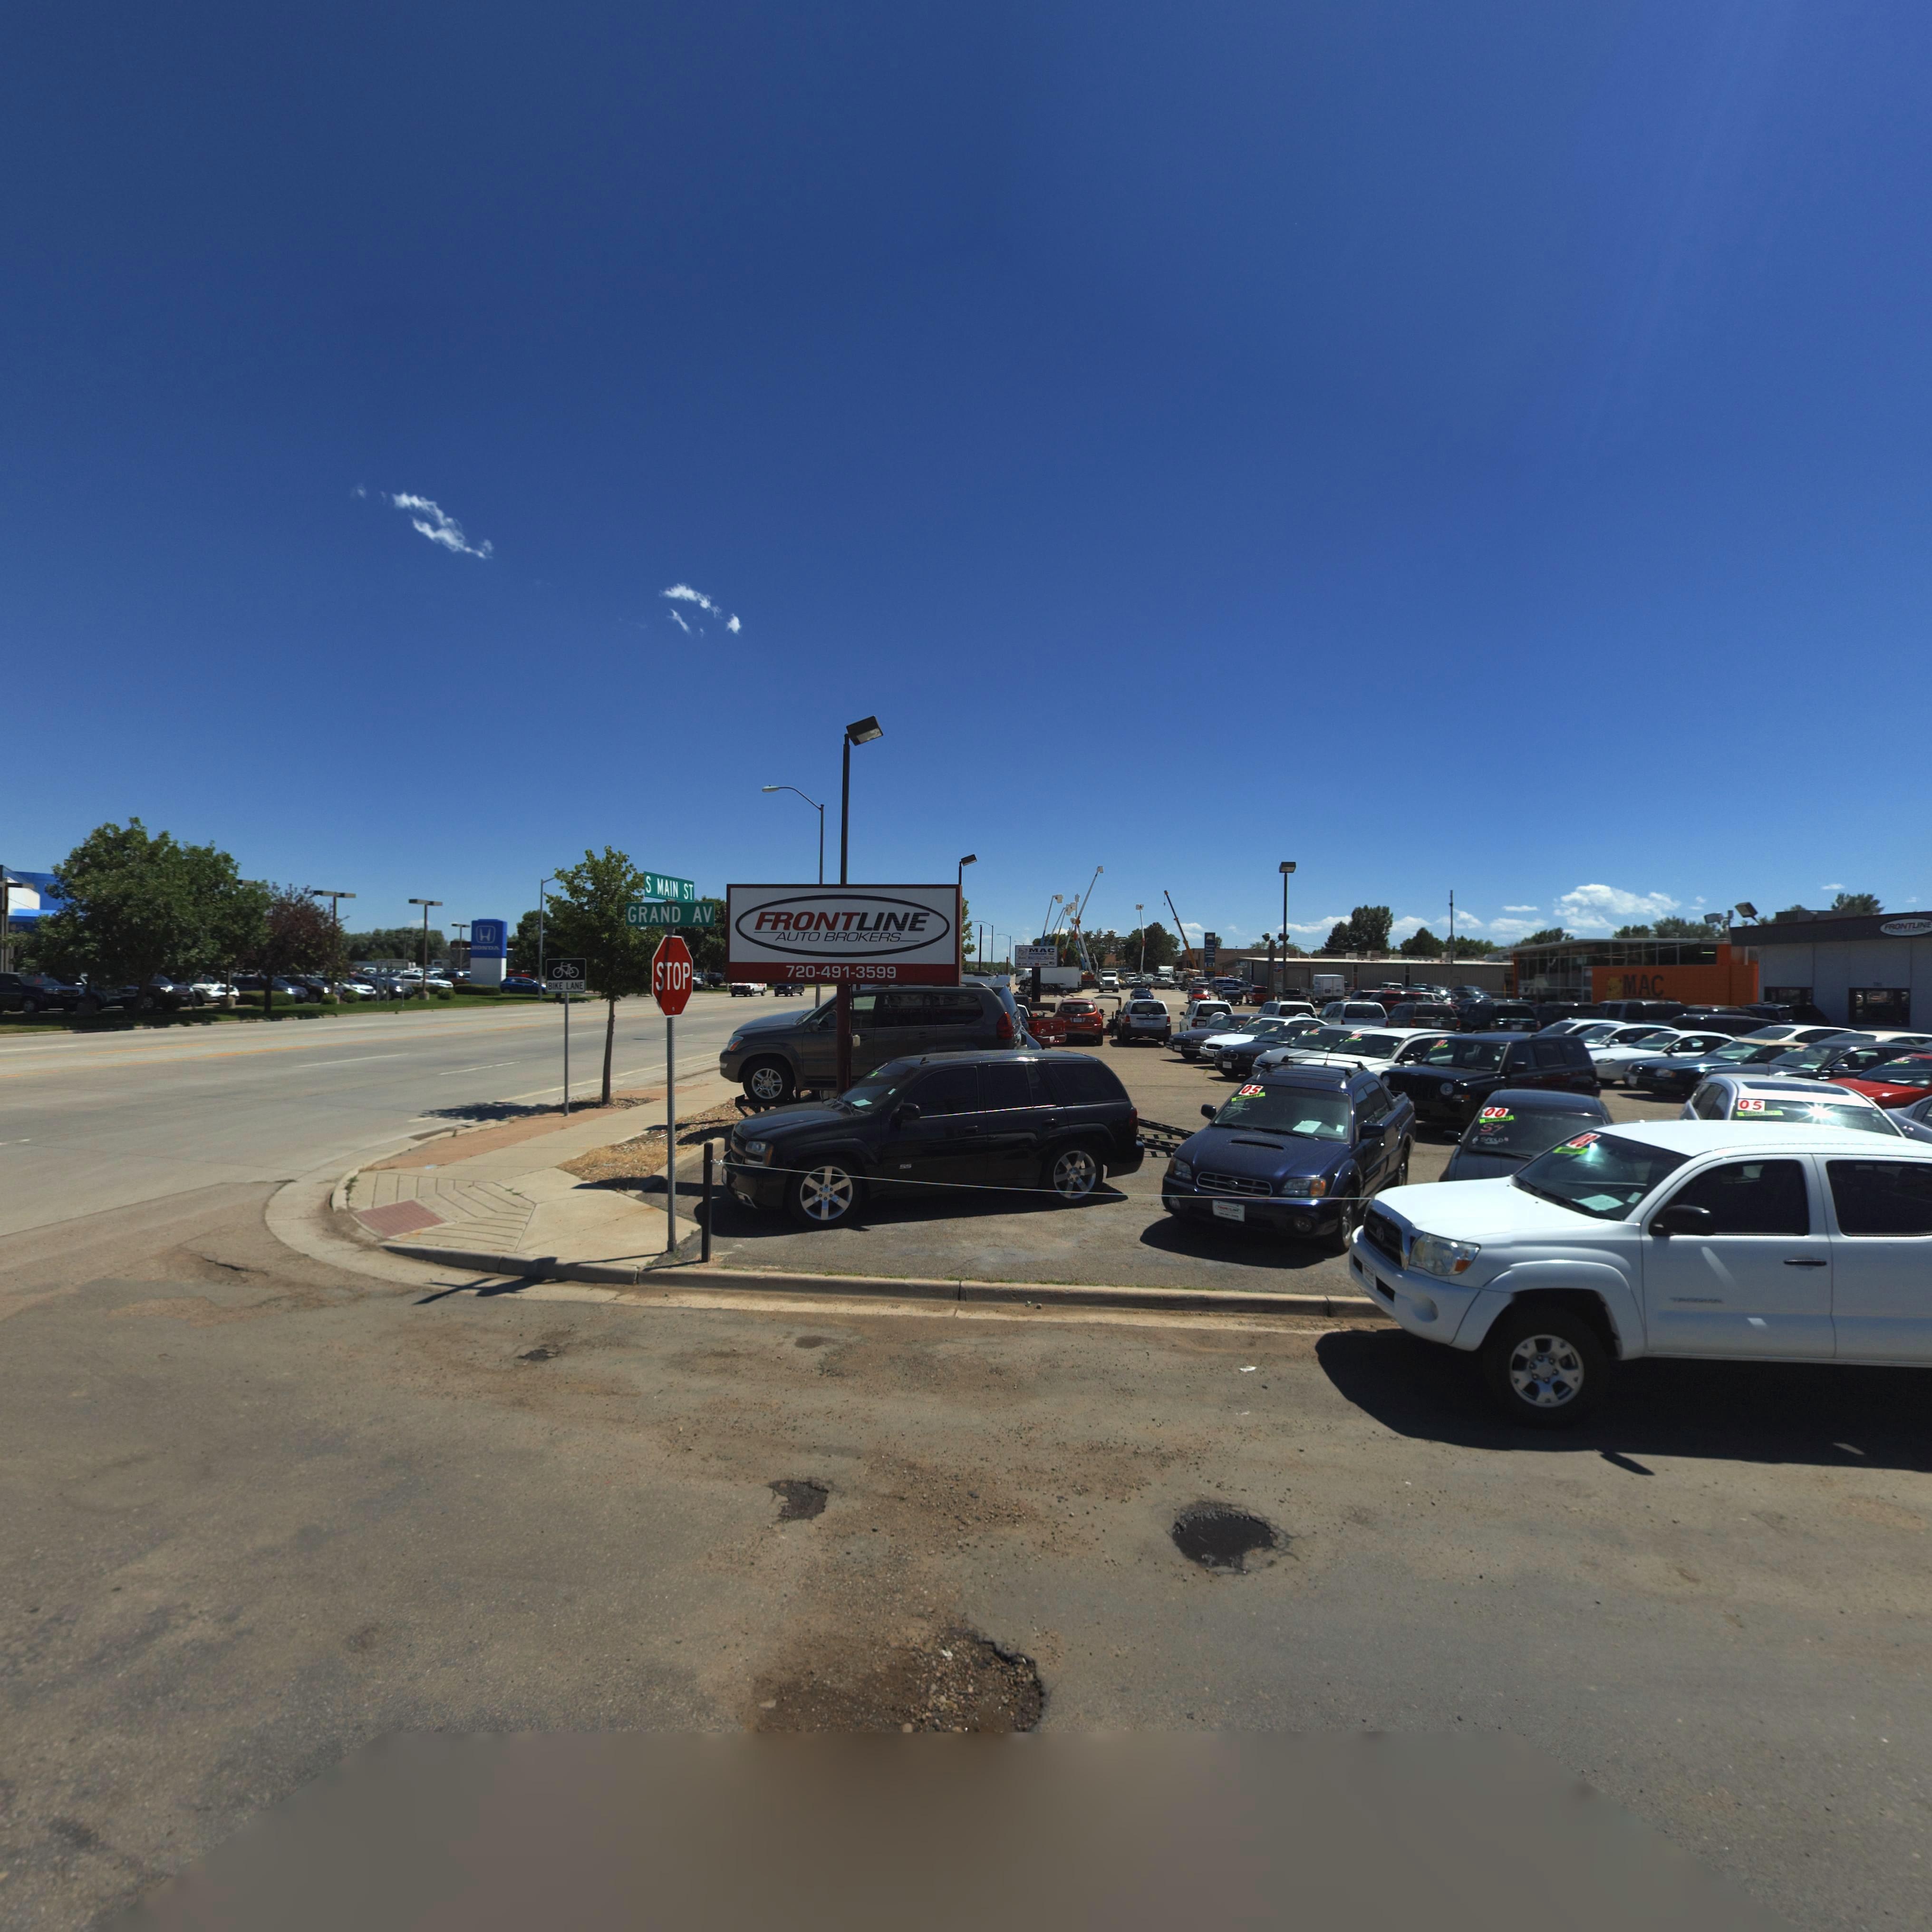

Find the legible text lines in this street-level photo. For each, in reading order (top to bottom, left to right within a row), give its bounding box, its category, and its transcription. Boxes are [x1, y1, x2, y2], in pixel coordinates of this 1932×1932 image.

[645, 875, 694, 901] StreetName: S MAIN ST
[627, 905, 714, 923] StreetName: GRAND AV
[753, 911, 931, 932] BusinessName: FRONTLINE
[1883, 920, 1929, 930] BusinessName: FRONTL***
[773, 931, 902, 942] BusinessName: AUTO BROKERS
[472, 945, 500, 950] BusinessName: *ONDA
[1028, 948, 1055, 953] BusinessName: MAC
[1622, 973, 1665, 996] BusinessName: MAC